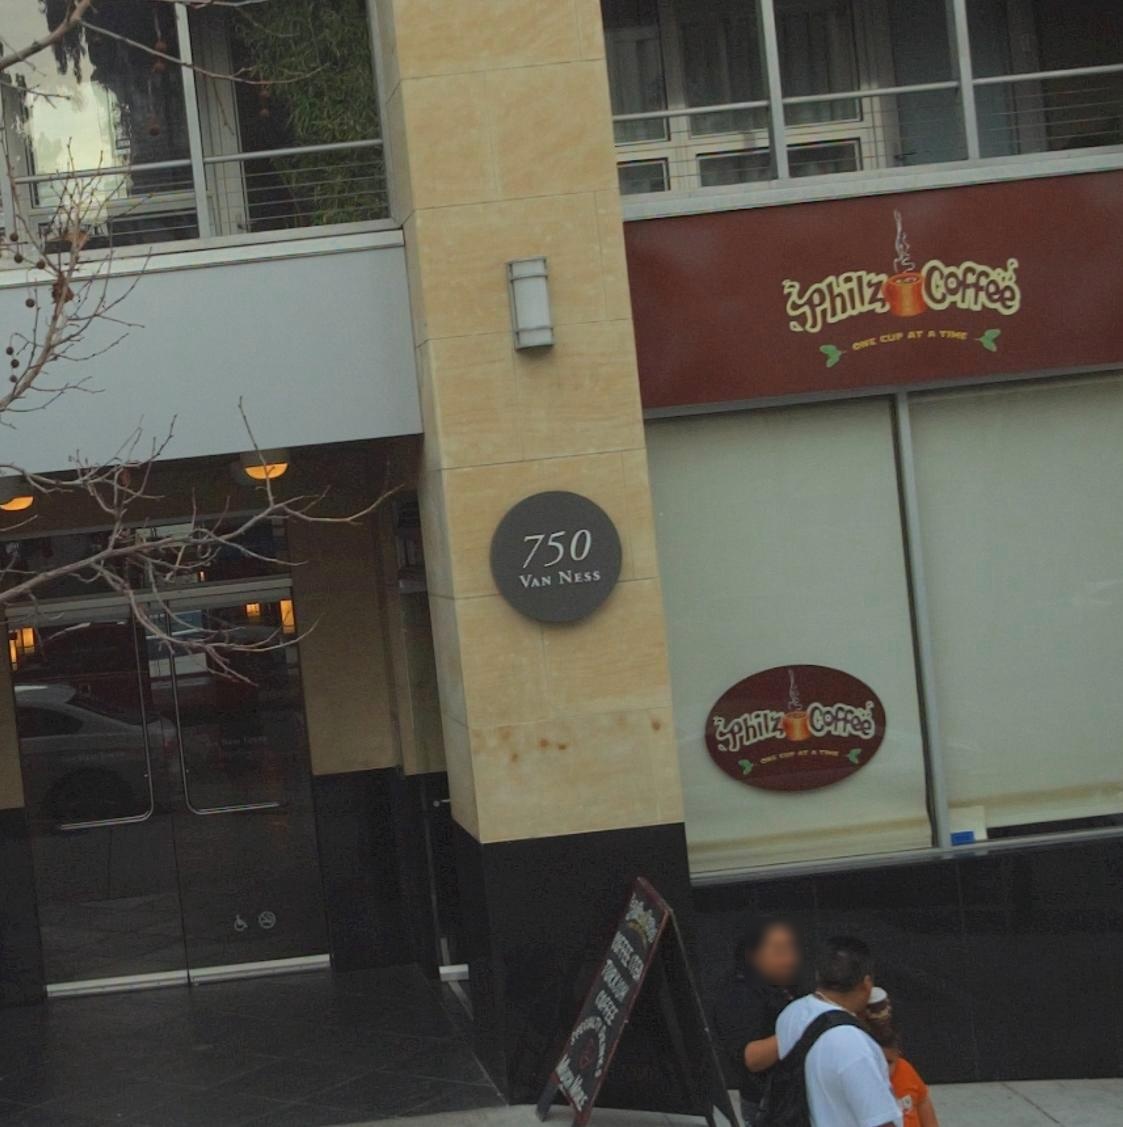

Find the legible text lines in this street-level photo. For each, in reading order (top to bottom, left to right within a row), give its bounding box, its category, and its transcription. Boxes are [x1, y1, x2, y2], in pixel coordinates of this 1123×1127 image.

[788, 263, 1016, 330] BusinessName: Philz*Coffee
[851, 329, 968, 351] None: ONE CUP AT A TIME
[521, 527, 594, 571] StreetNumber: 750
[518, 568, 601, 590] StreetName: VAN NESS
[717, 704, 873, 751] BusinessName: Philz*Coffee
[609, 928, 635, 970] None: COFFEE
[593, 987, 620, 1028] None: COFFEE